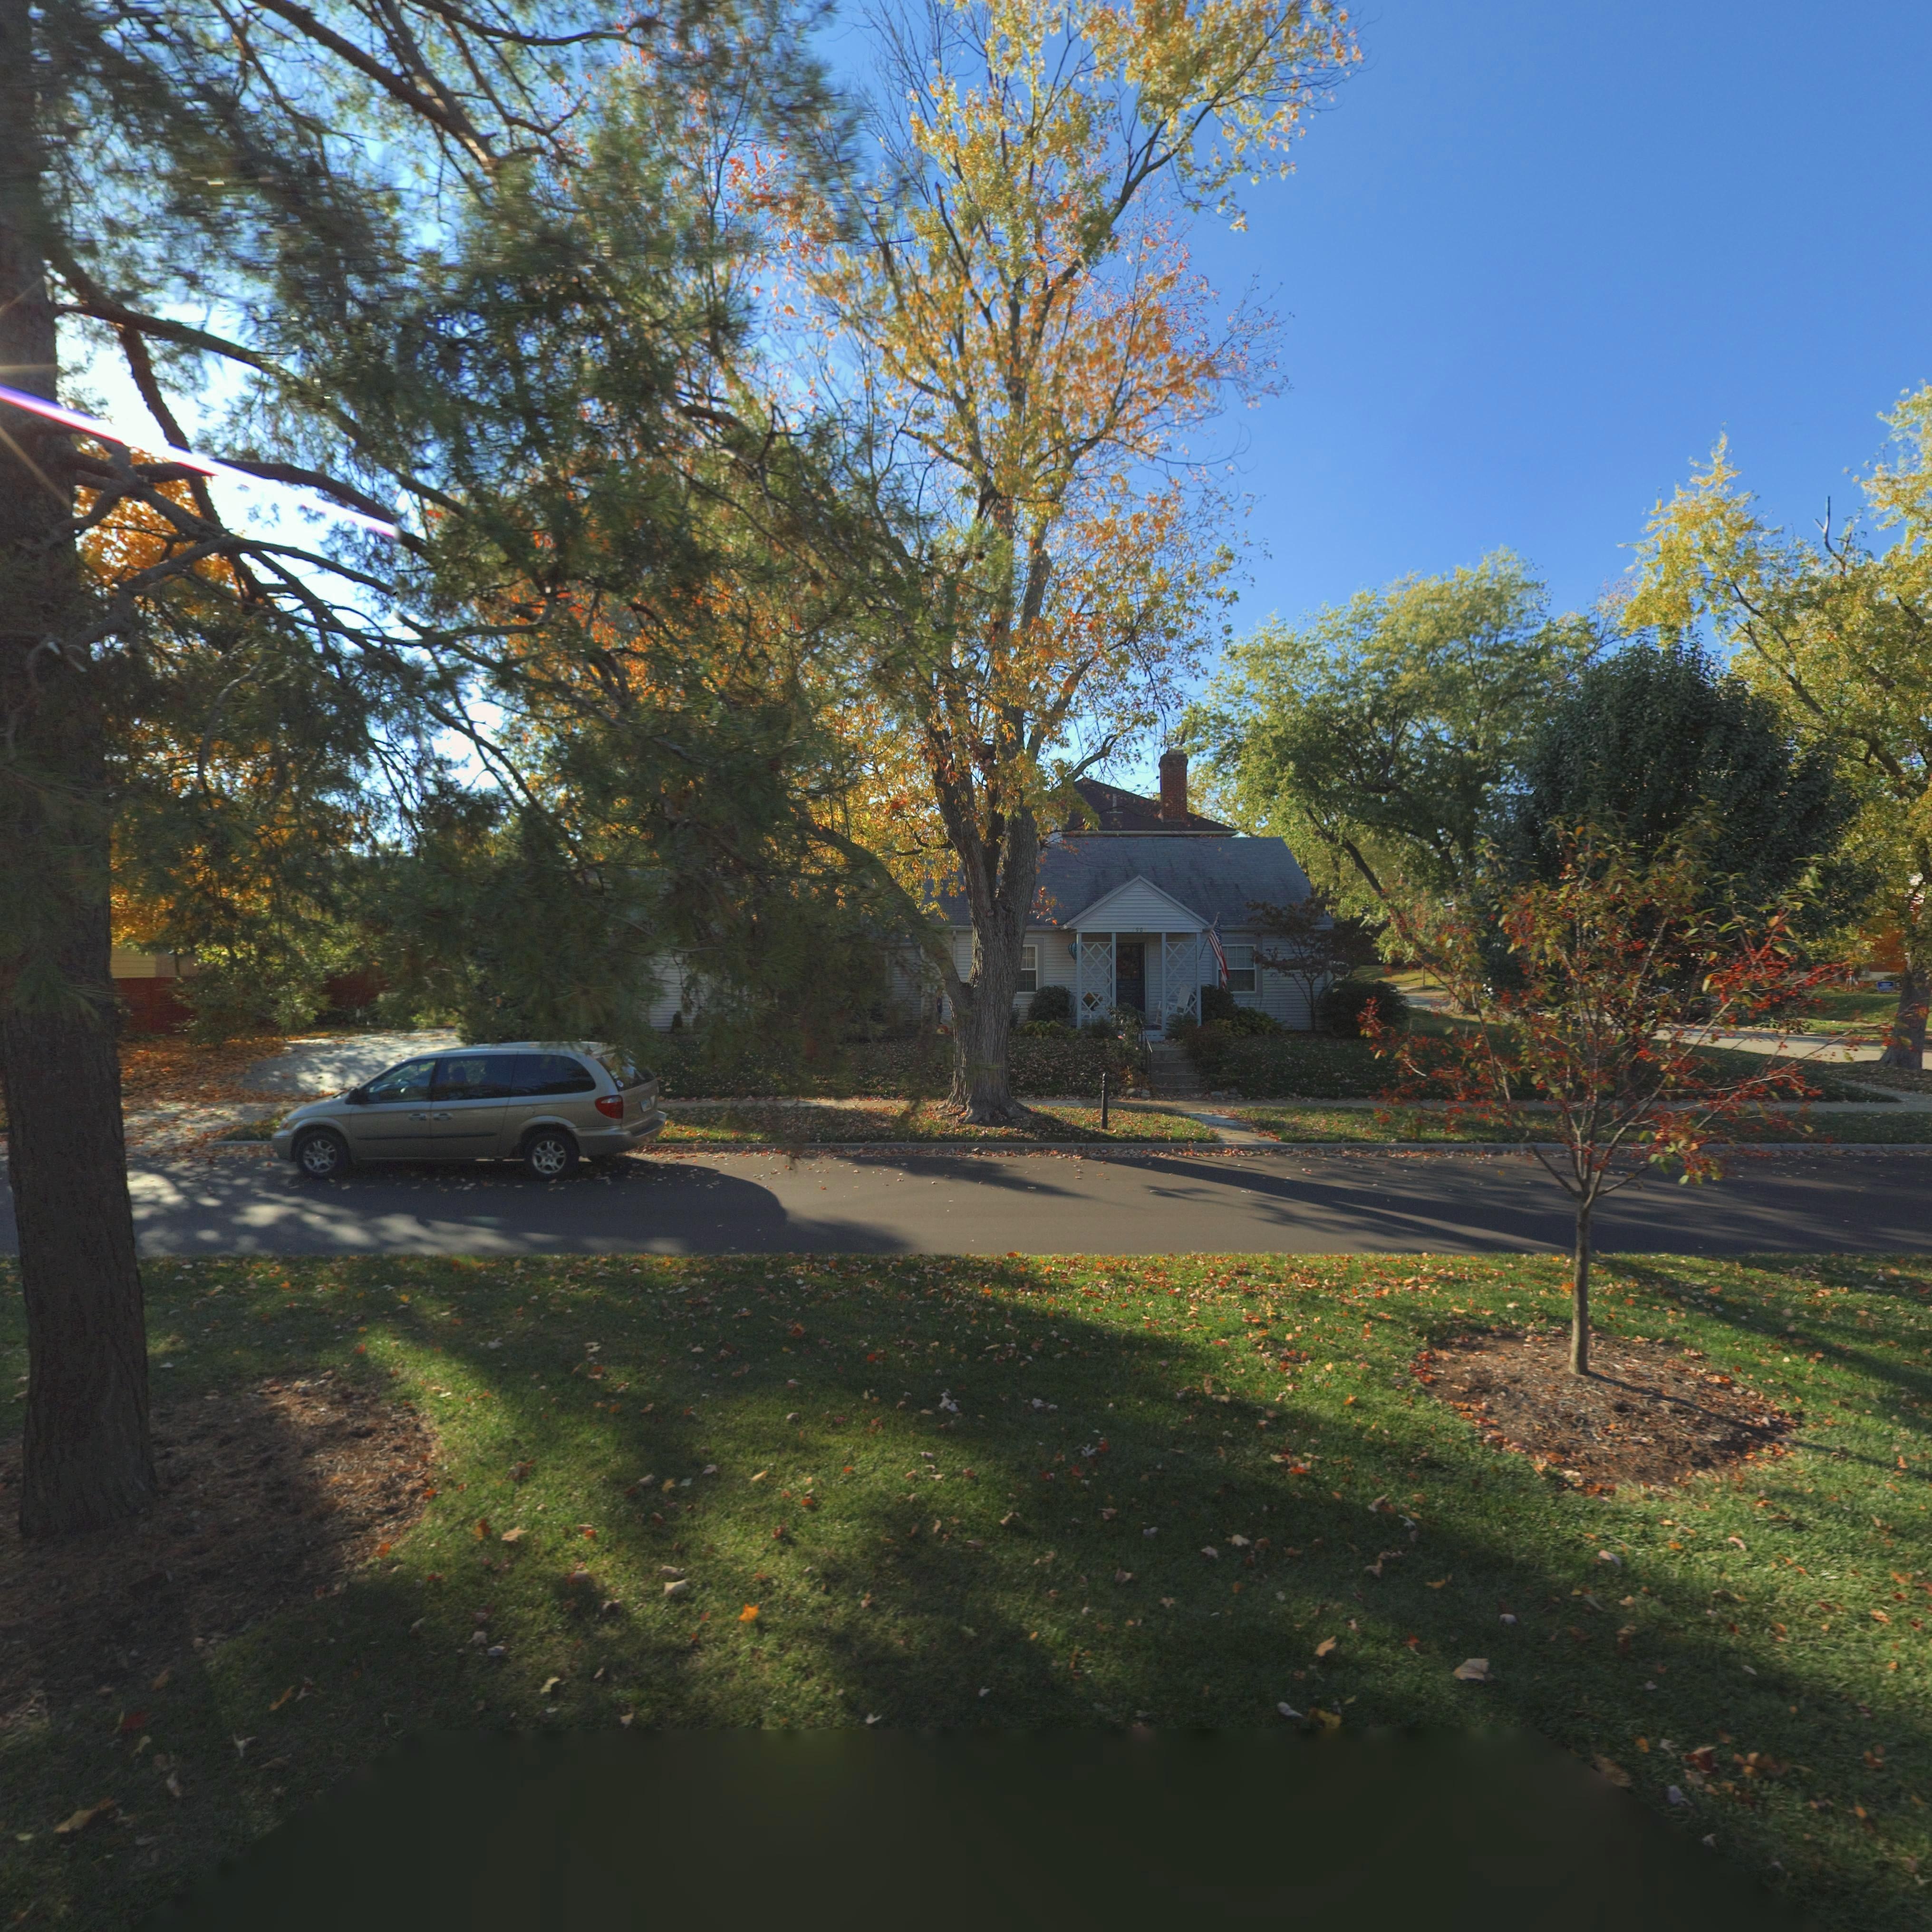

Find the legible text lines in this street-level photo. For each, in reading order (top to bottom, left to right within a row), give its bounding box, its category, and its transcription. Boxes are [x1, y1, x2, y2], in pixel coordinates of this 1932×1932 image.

[1135, 927, 1143, 932] StreetNumber: 90